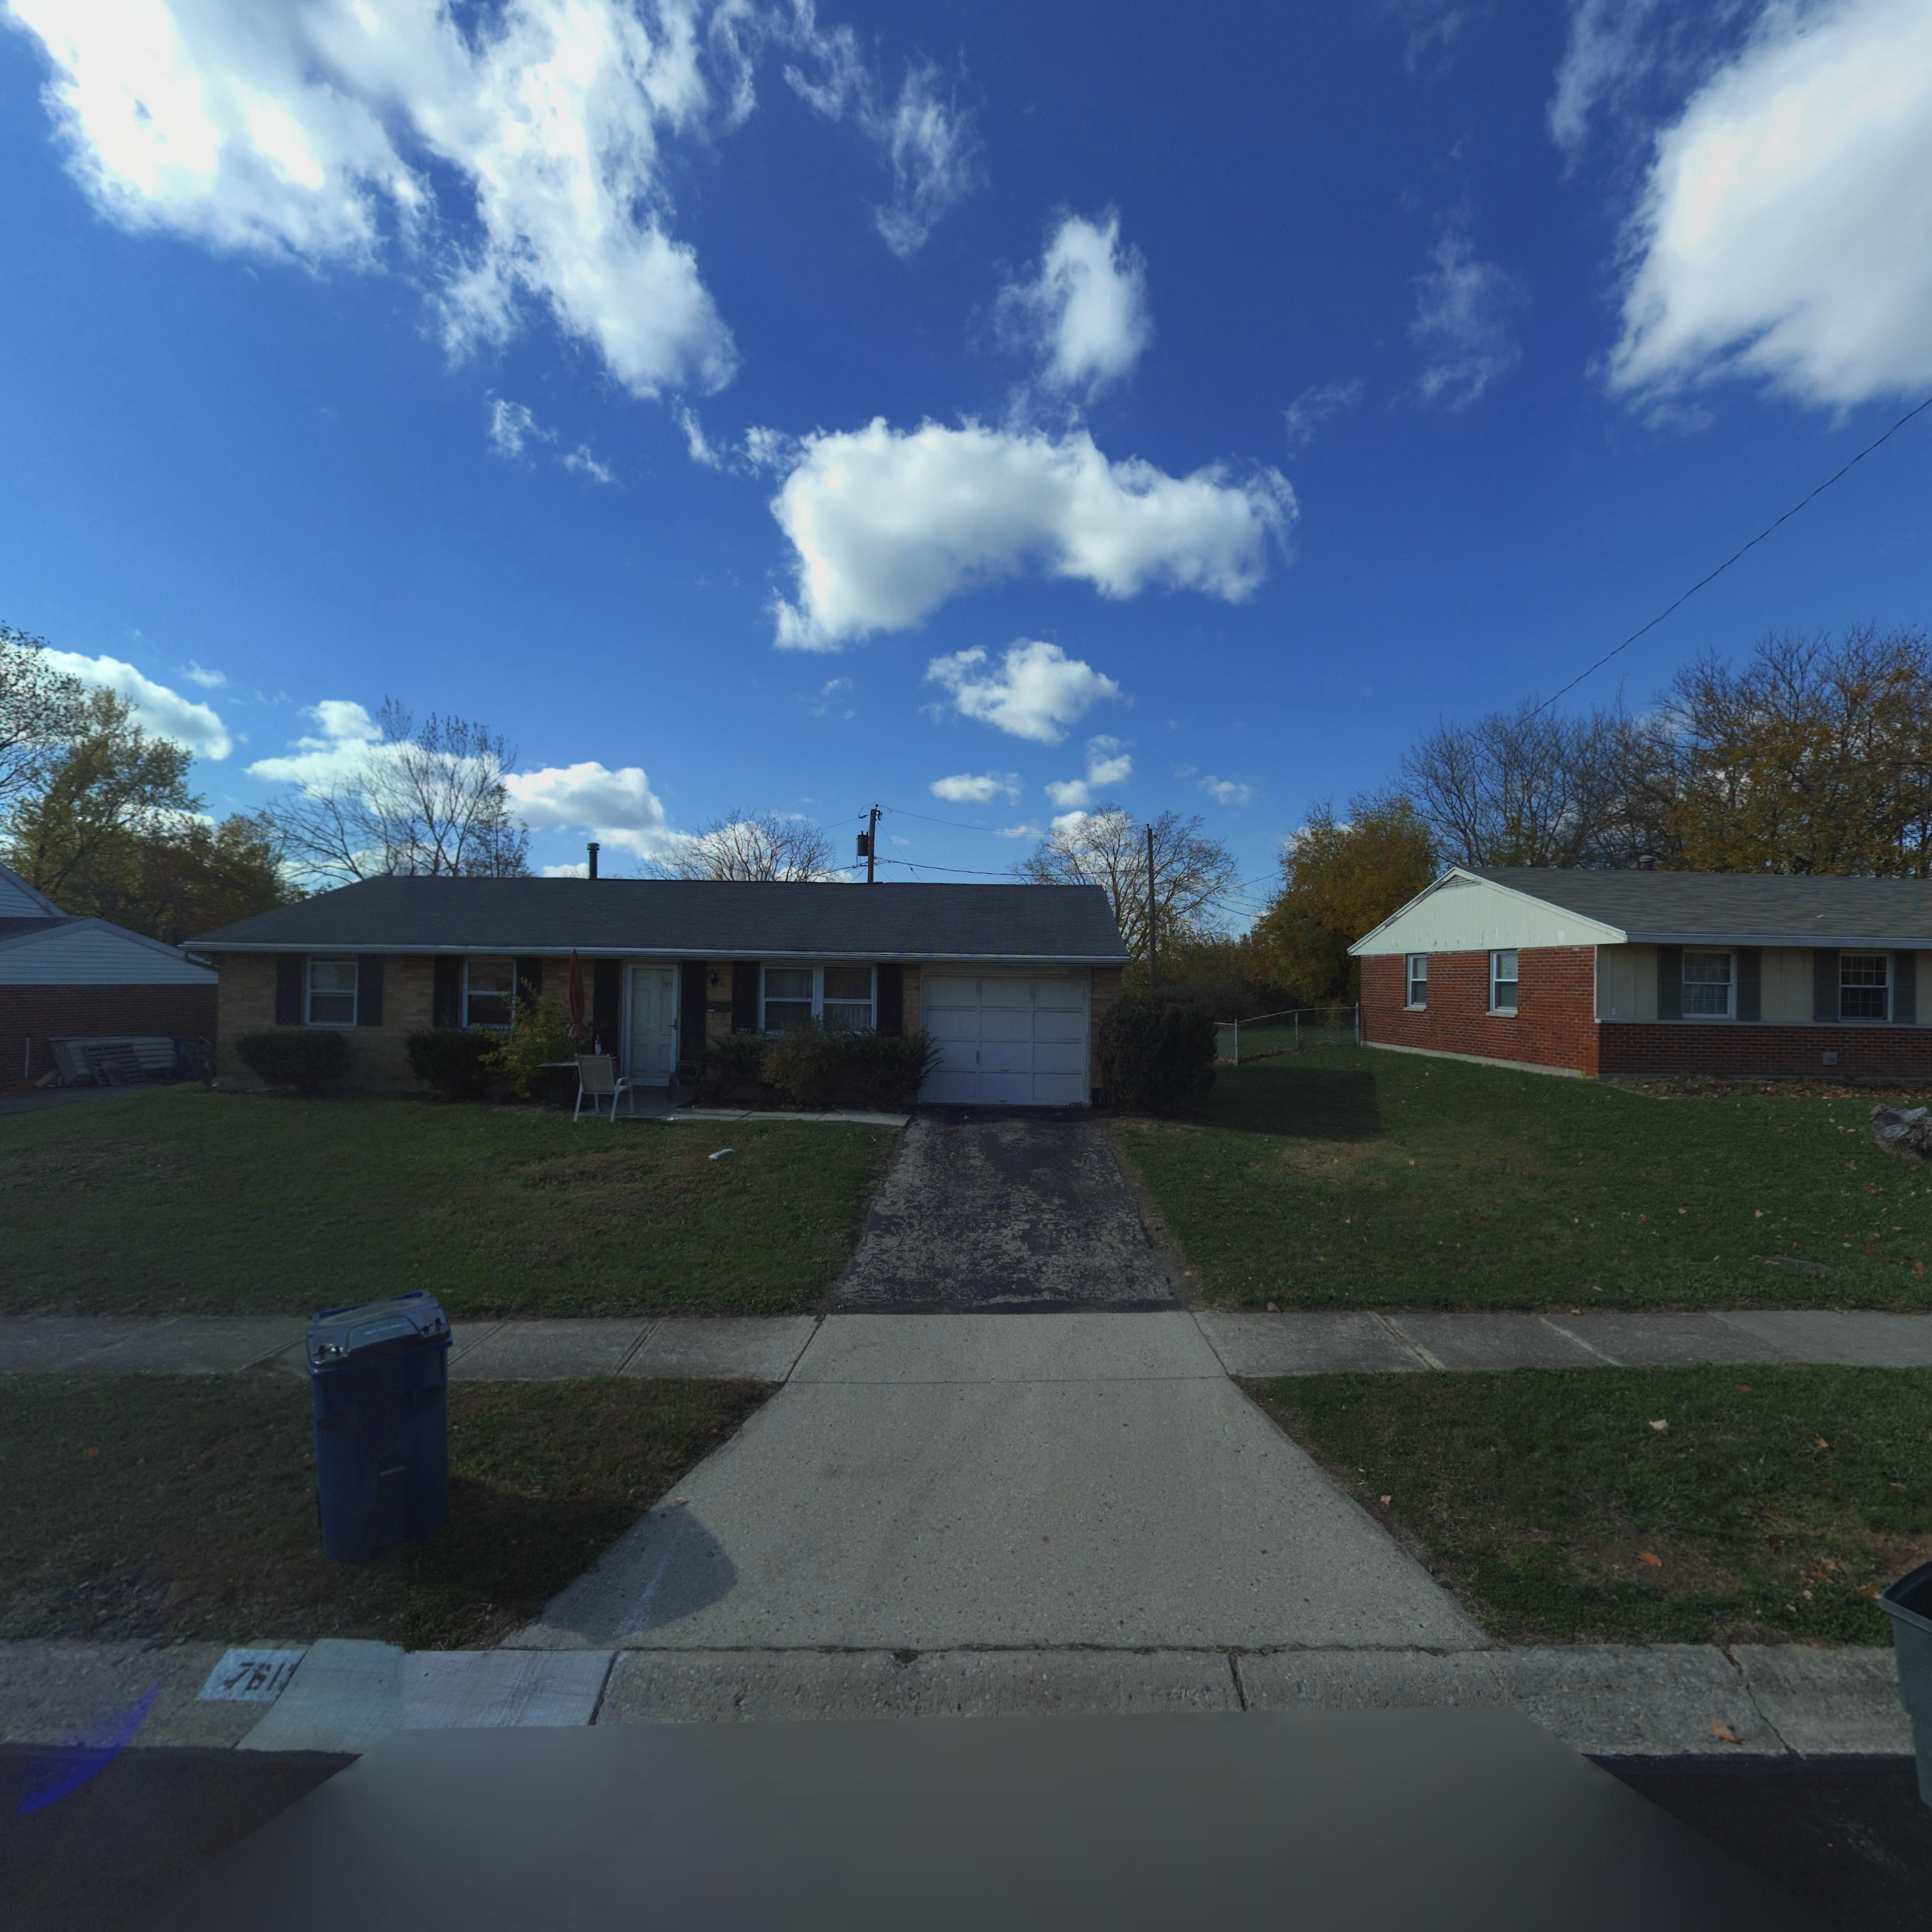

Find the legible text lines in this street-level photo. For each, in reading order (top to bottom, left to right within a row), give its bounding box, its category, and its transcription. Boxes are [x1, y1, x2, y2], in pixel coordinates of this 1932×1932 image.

[739, 1028, 748, 1032] StreetNumber: 7*1*
[220, 1660, 290, 1694] StreetNumber: 761